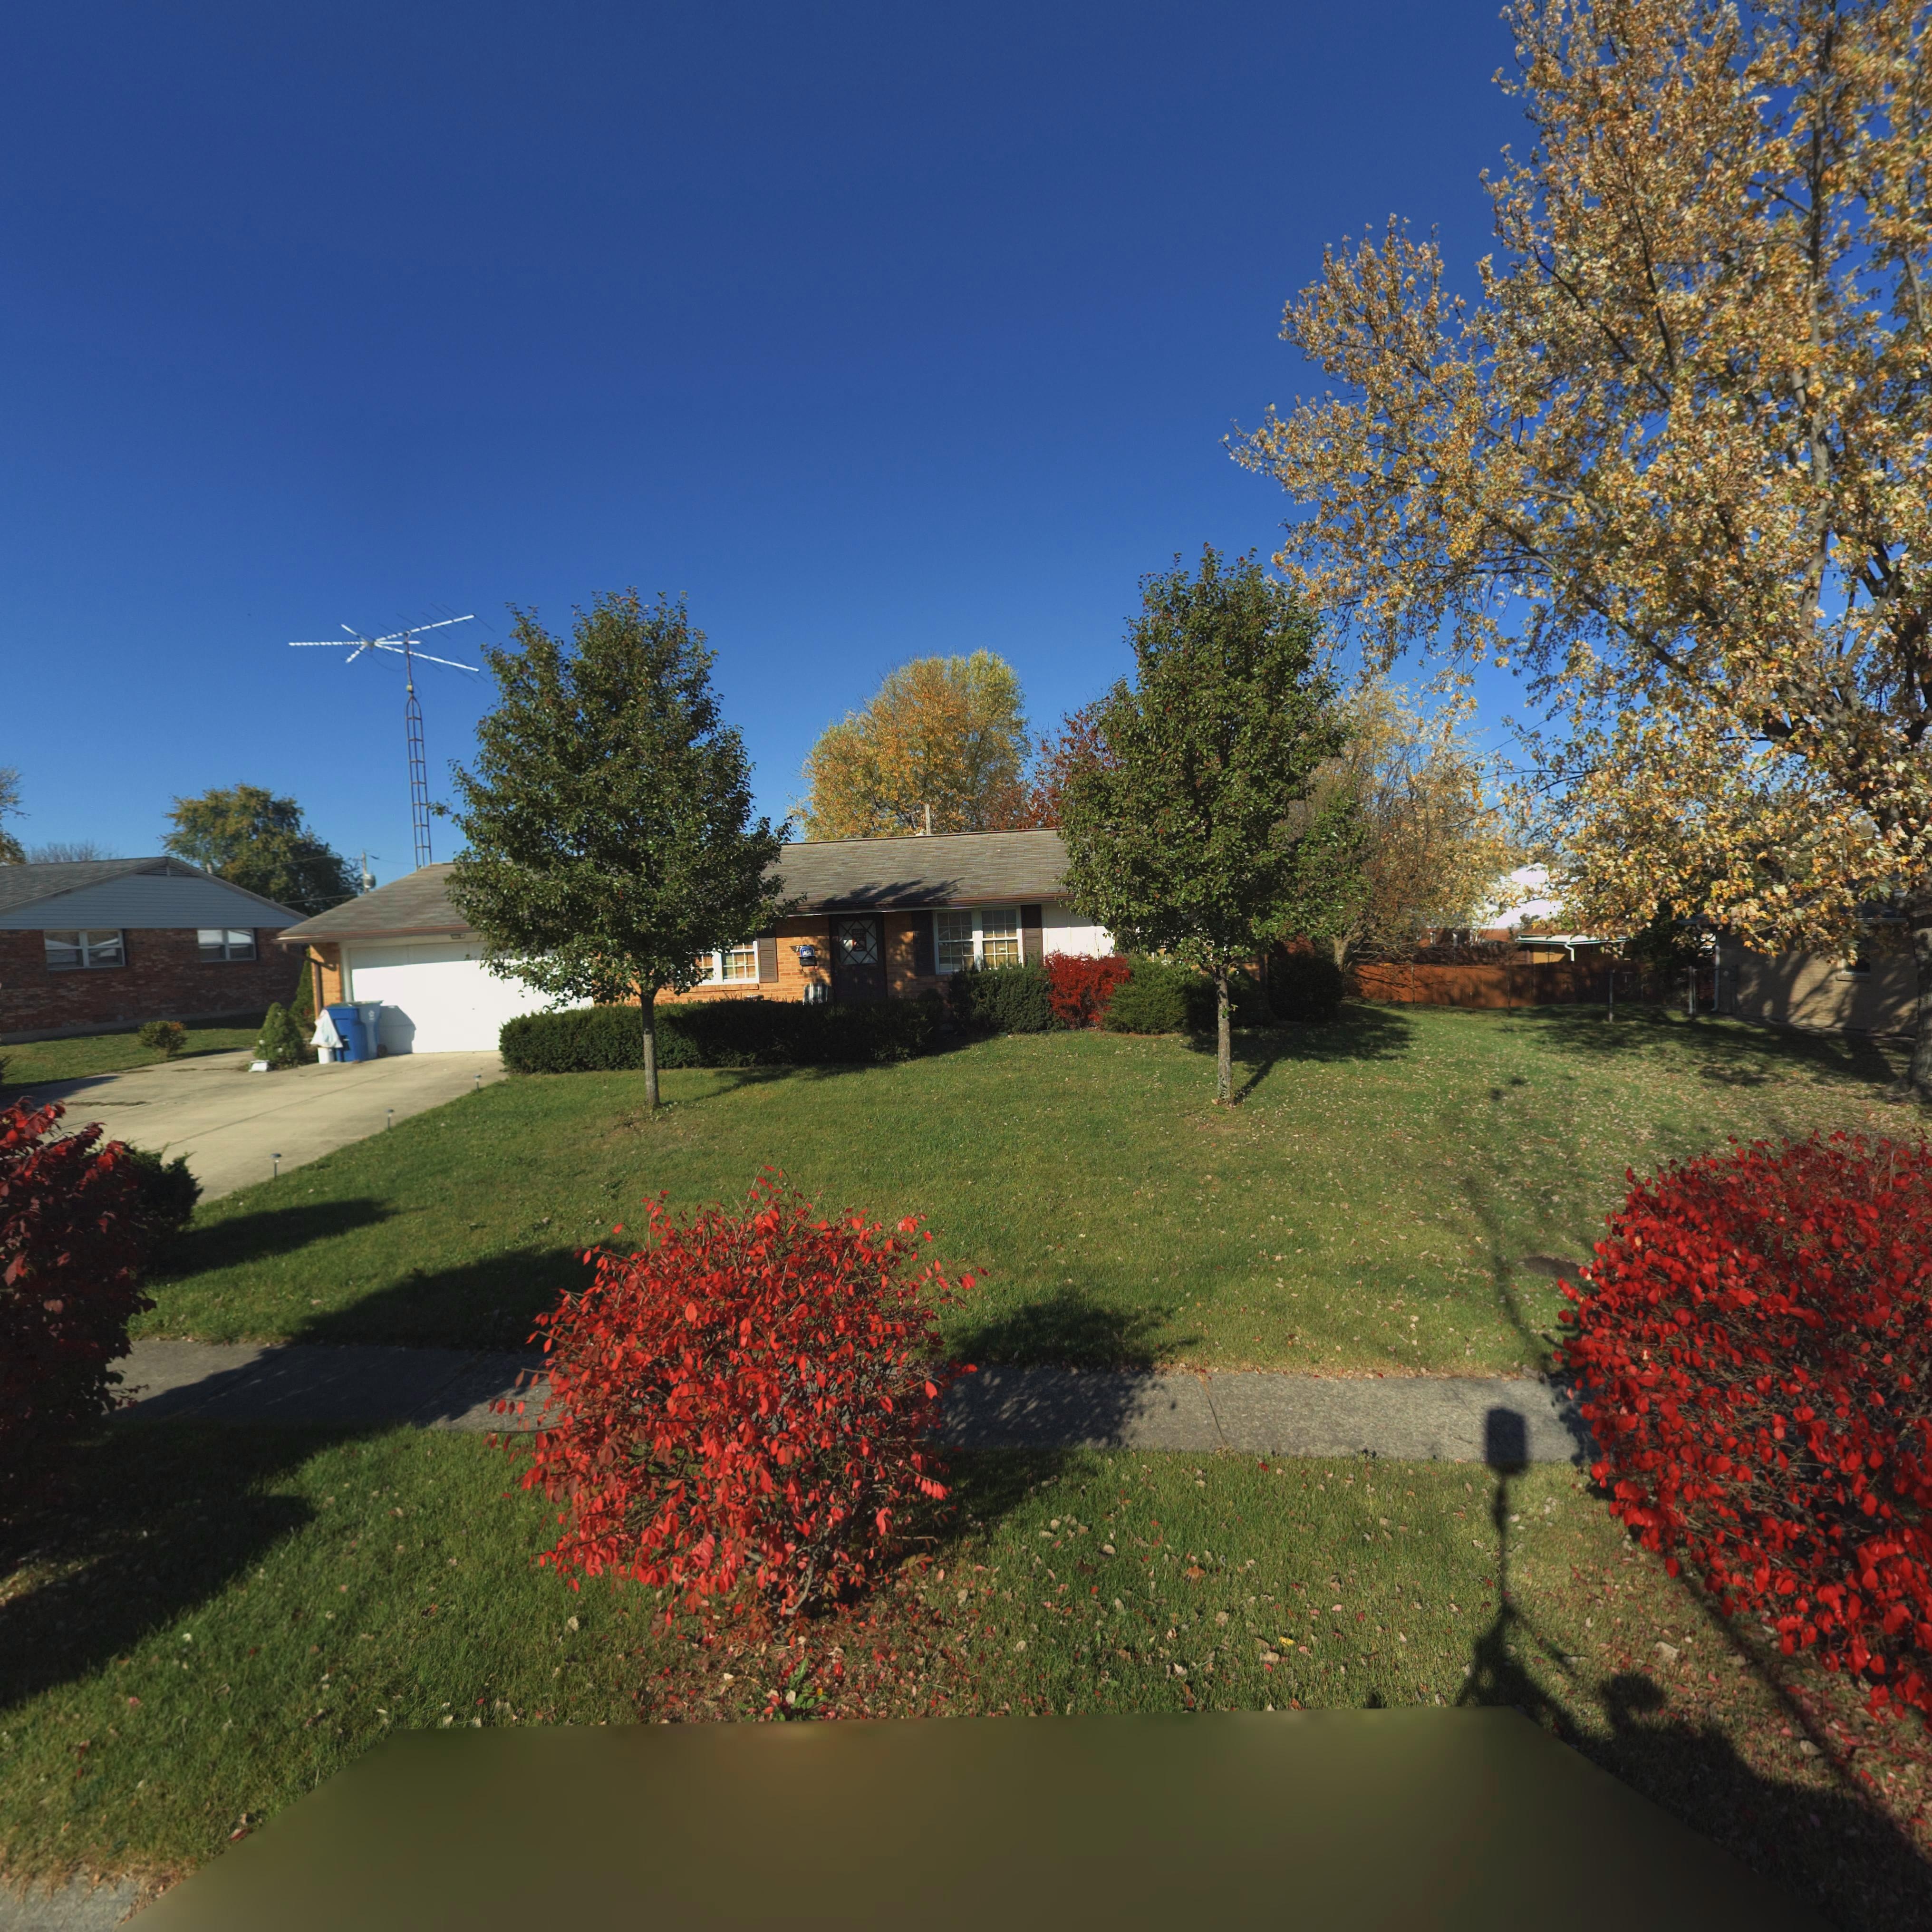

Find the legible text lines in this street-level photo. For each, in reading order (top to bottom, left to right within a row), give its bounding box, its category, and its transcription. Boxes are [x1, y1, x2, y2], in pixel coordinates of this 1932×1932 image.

[795, 945, 800, 953] StreetNumber: 7